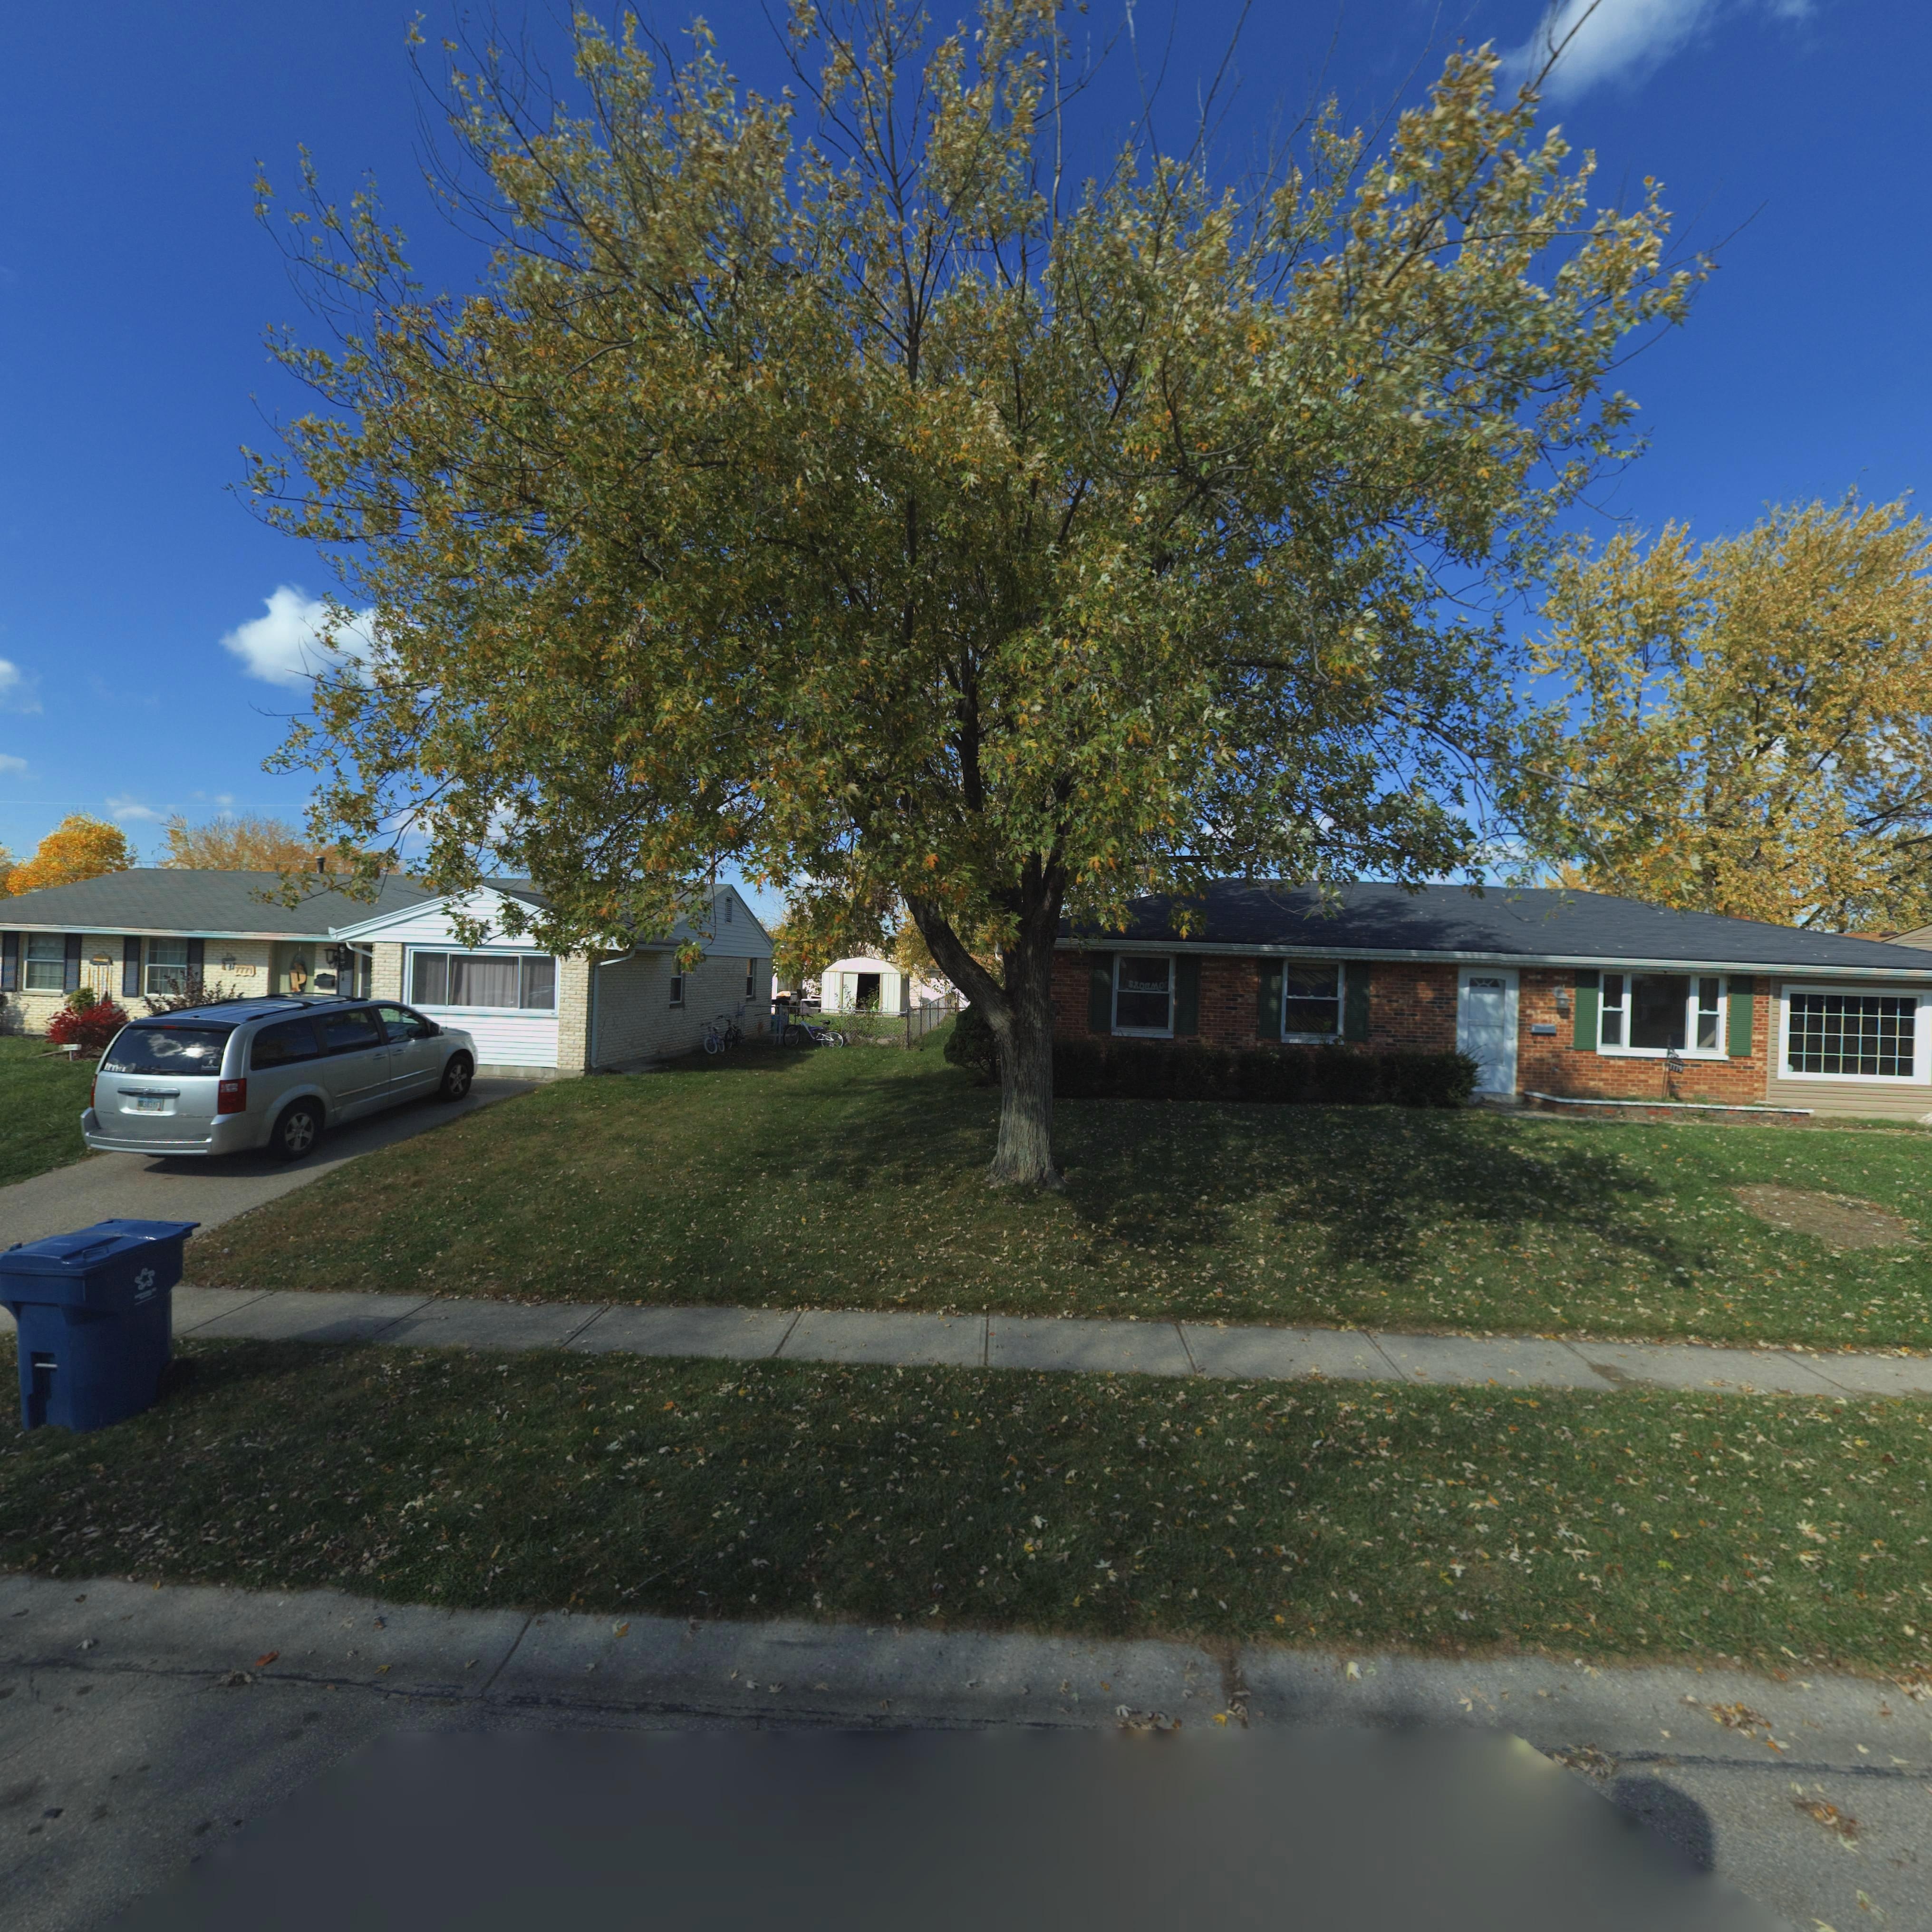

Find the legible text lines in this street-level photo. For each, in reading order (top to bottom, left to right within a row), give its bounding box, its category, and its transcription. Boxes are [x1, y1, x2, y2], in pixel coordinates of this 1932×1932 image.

[235, 966, 253, 975] StreetNumber: 7771
[1668, 1062, 1683, 1073] StreetNumber: 7779